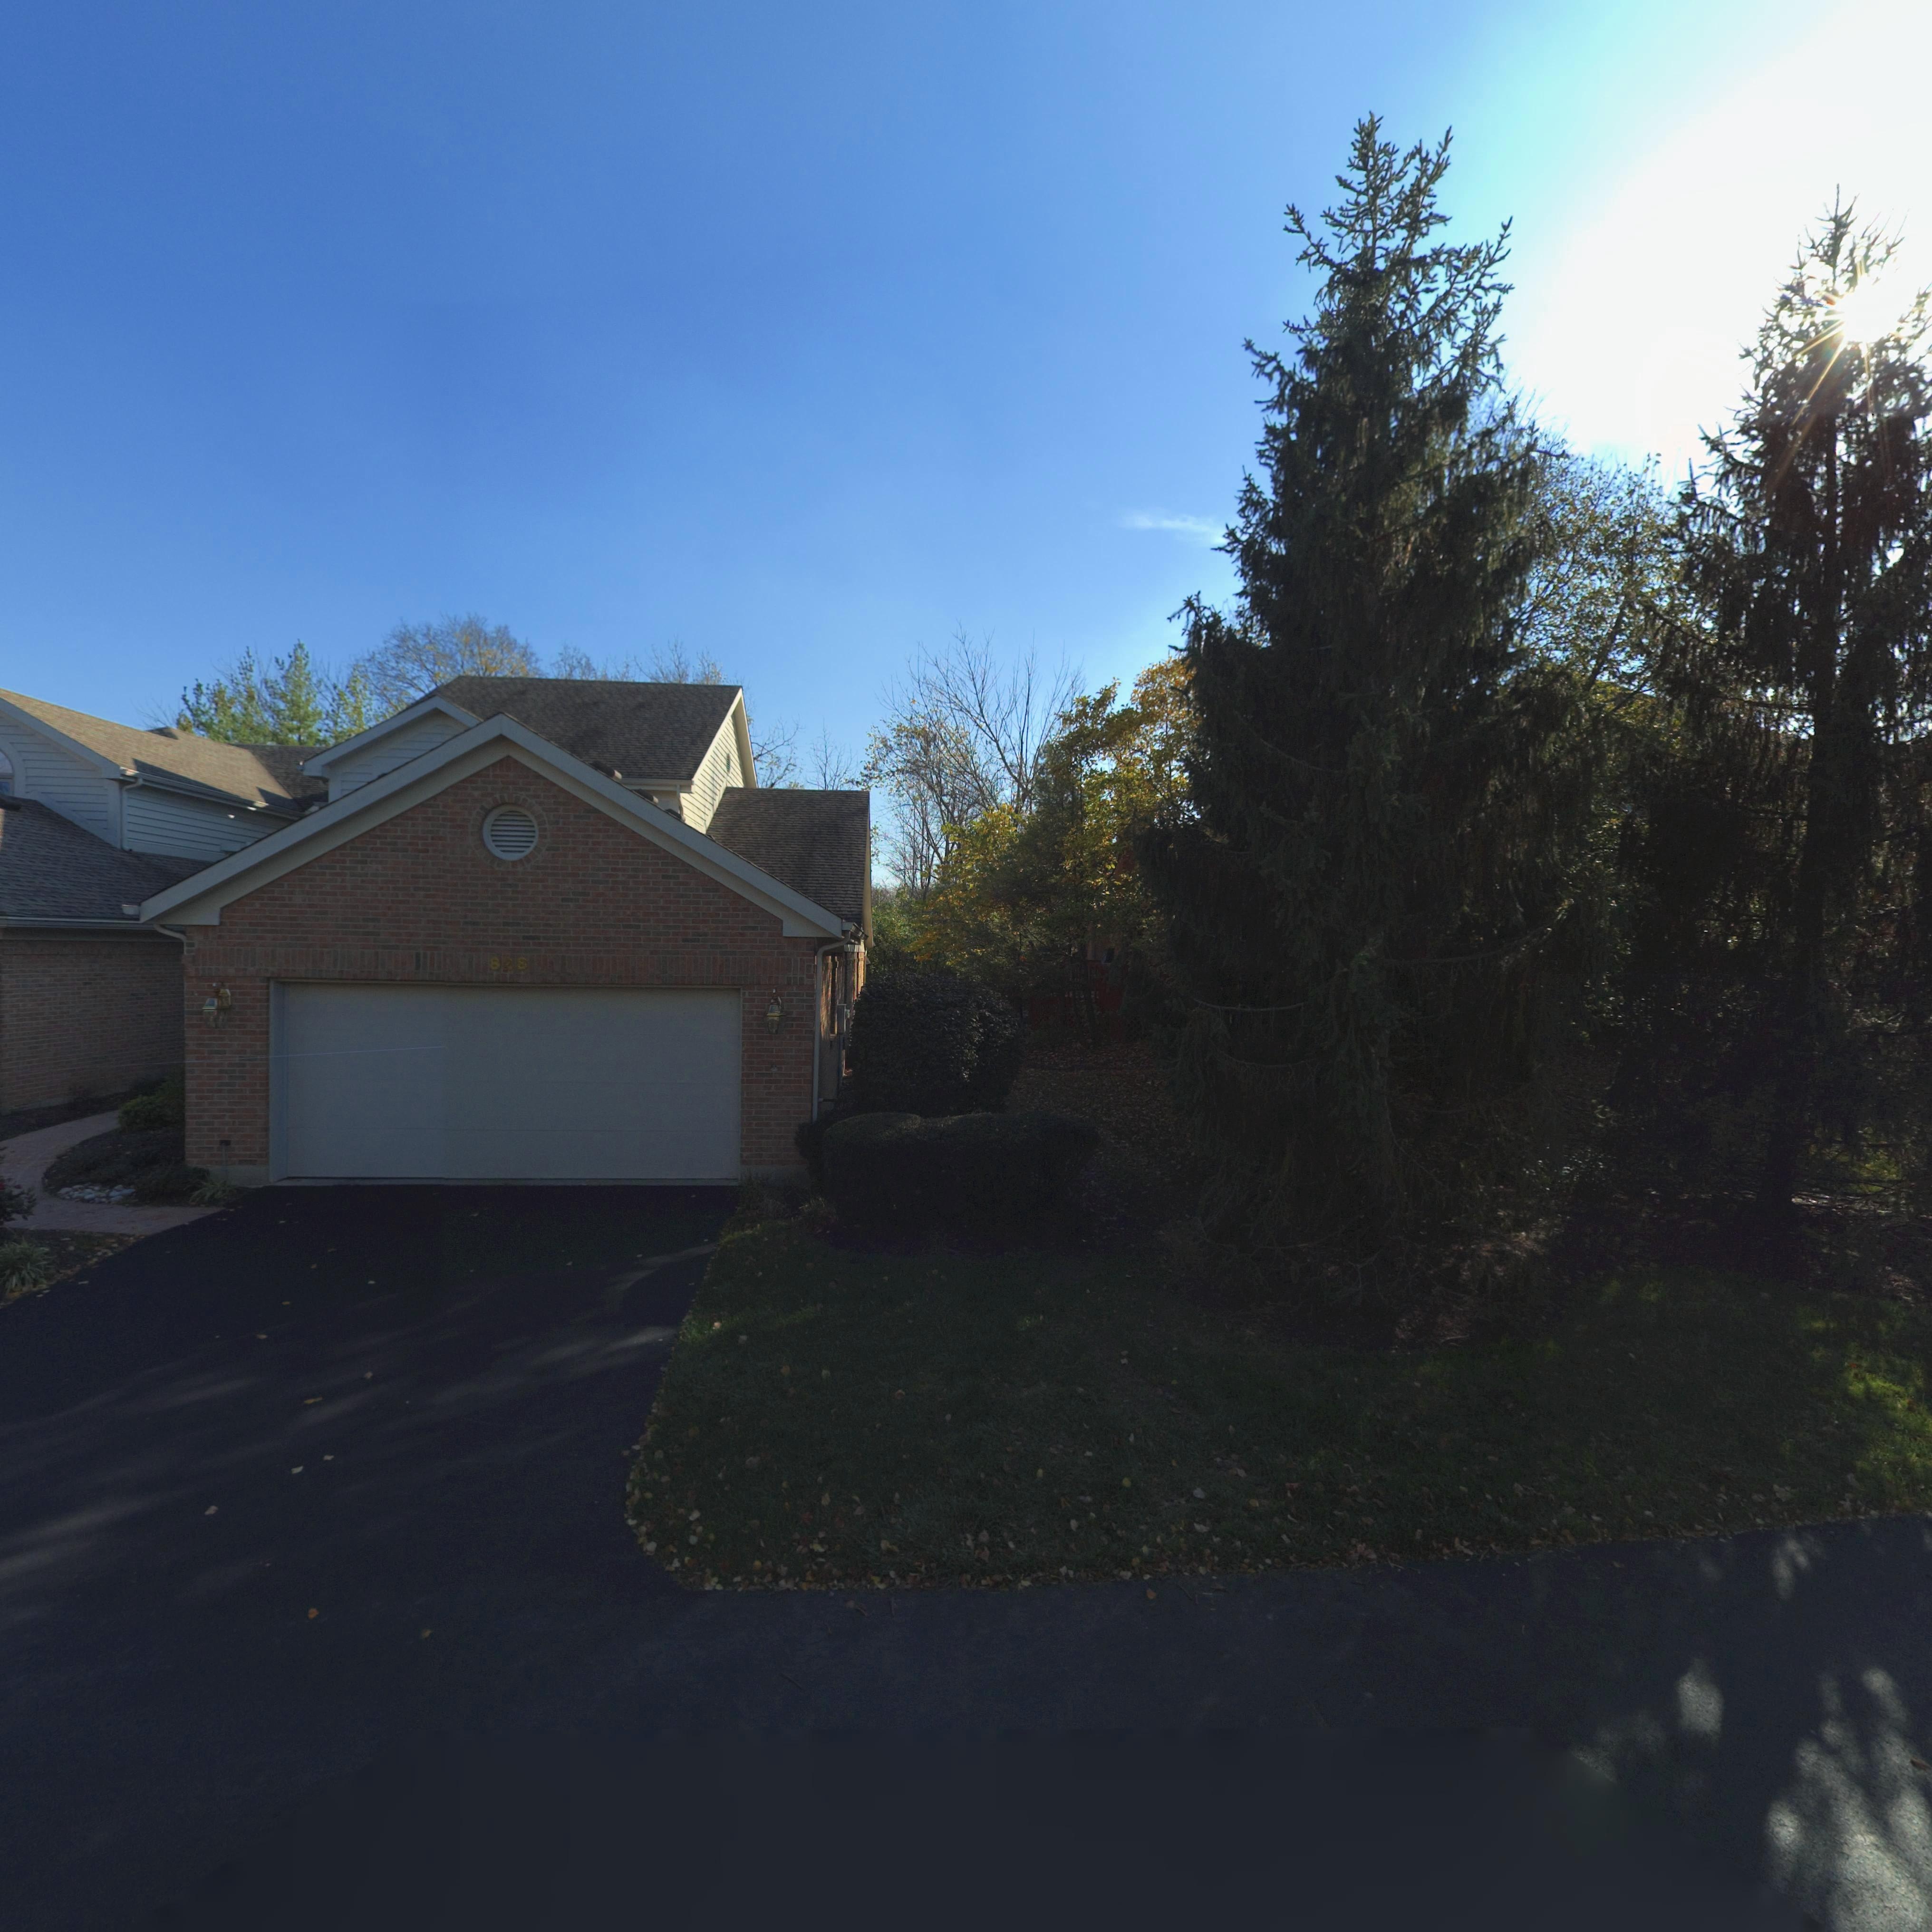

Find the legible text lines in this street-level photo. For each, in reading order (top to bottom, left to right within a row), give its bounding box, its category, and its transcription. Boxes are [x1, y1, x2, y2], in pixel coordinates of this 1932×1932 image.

[488, 955, 529, 972] StreetNumber: 828